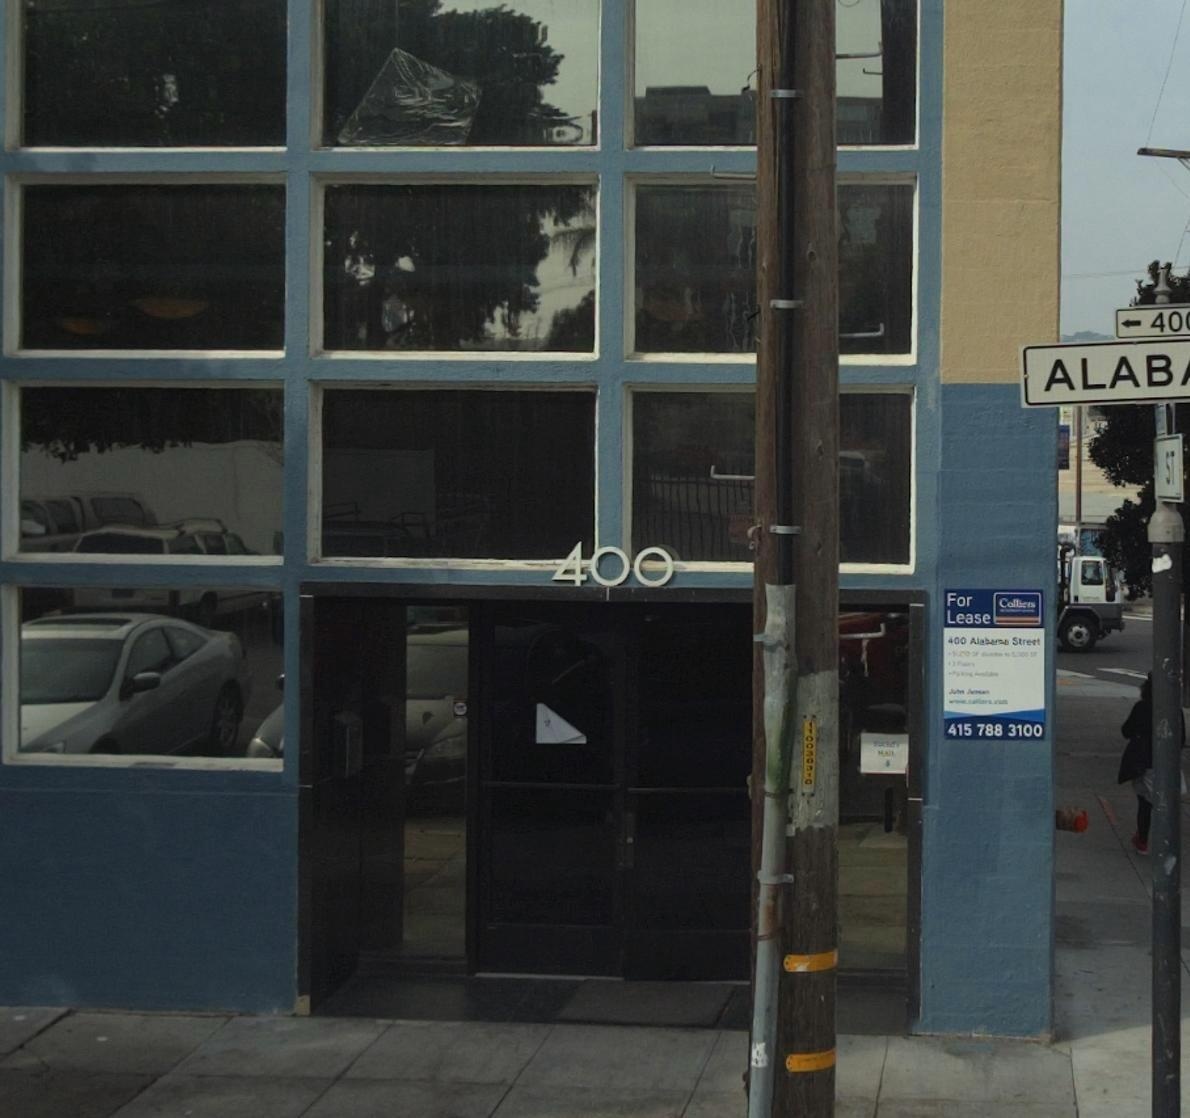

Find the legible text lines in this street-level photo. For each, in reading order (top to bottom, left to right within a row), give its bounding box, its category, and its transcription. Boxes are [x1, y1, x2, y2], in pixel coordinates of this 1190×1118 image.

[1118, 311, 1185, 335] StreetNumberRange: <-40
[1040, 352, 1176, 394] StreetName: ALAB
[1163, 448, 1177, 489] StreetName: ST
[545, 538, 678, 589] StreetNumber: 400
[945, 590, 976, 608] None: For
[998, 596, 1038, 609] None: Coll***
[945, 607, 993, 625] None: Lease
[946, 634, 968, 647] StreetNumber: 400 Al*b*** Street
[969, 636, 1042, 646] StreetName: Alabama Street
[945, 721, 1045, 738] None: 415 788 3100
[804, 720, 815, 787] None: 11003010